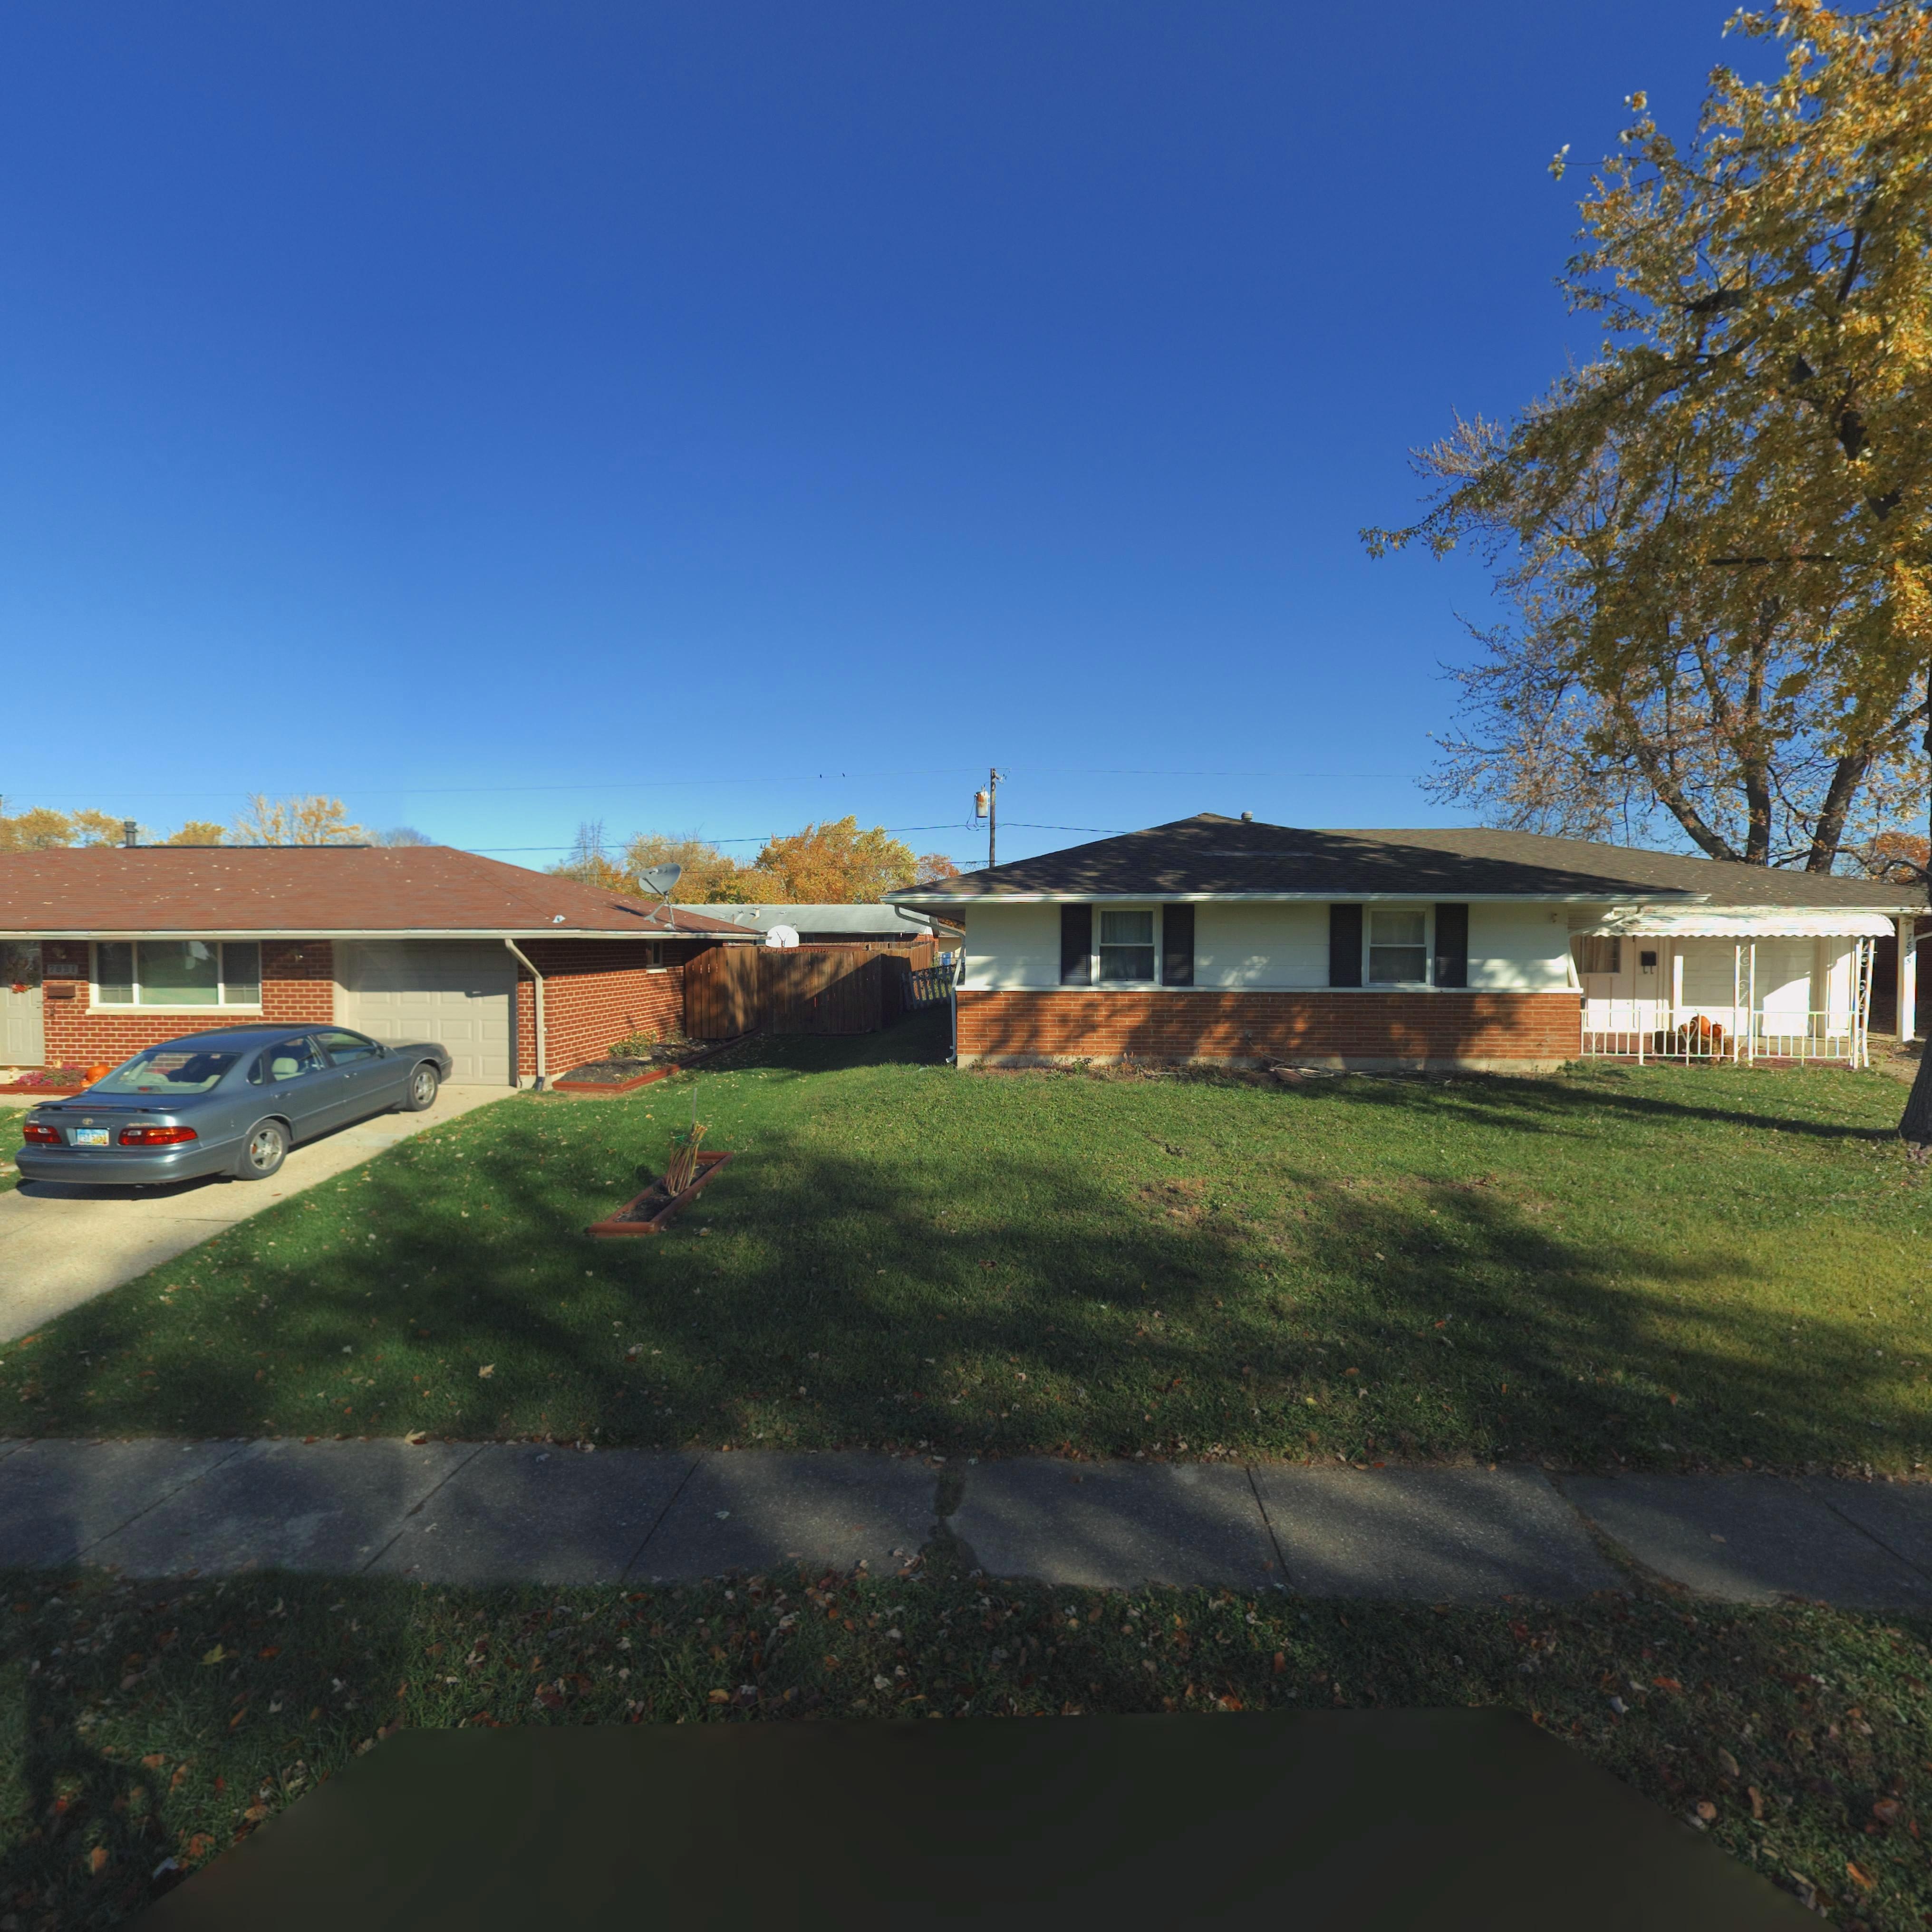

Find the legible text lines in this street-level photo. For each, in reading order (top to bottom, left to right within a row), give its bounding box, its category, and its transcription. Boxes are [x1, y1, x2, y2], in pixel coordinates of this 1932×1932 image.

[1904, 932, 1913, 966] StreetNumber: 7825
[48, 965, 76, 974] StreetNumber: 7821